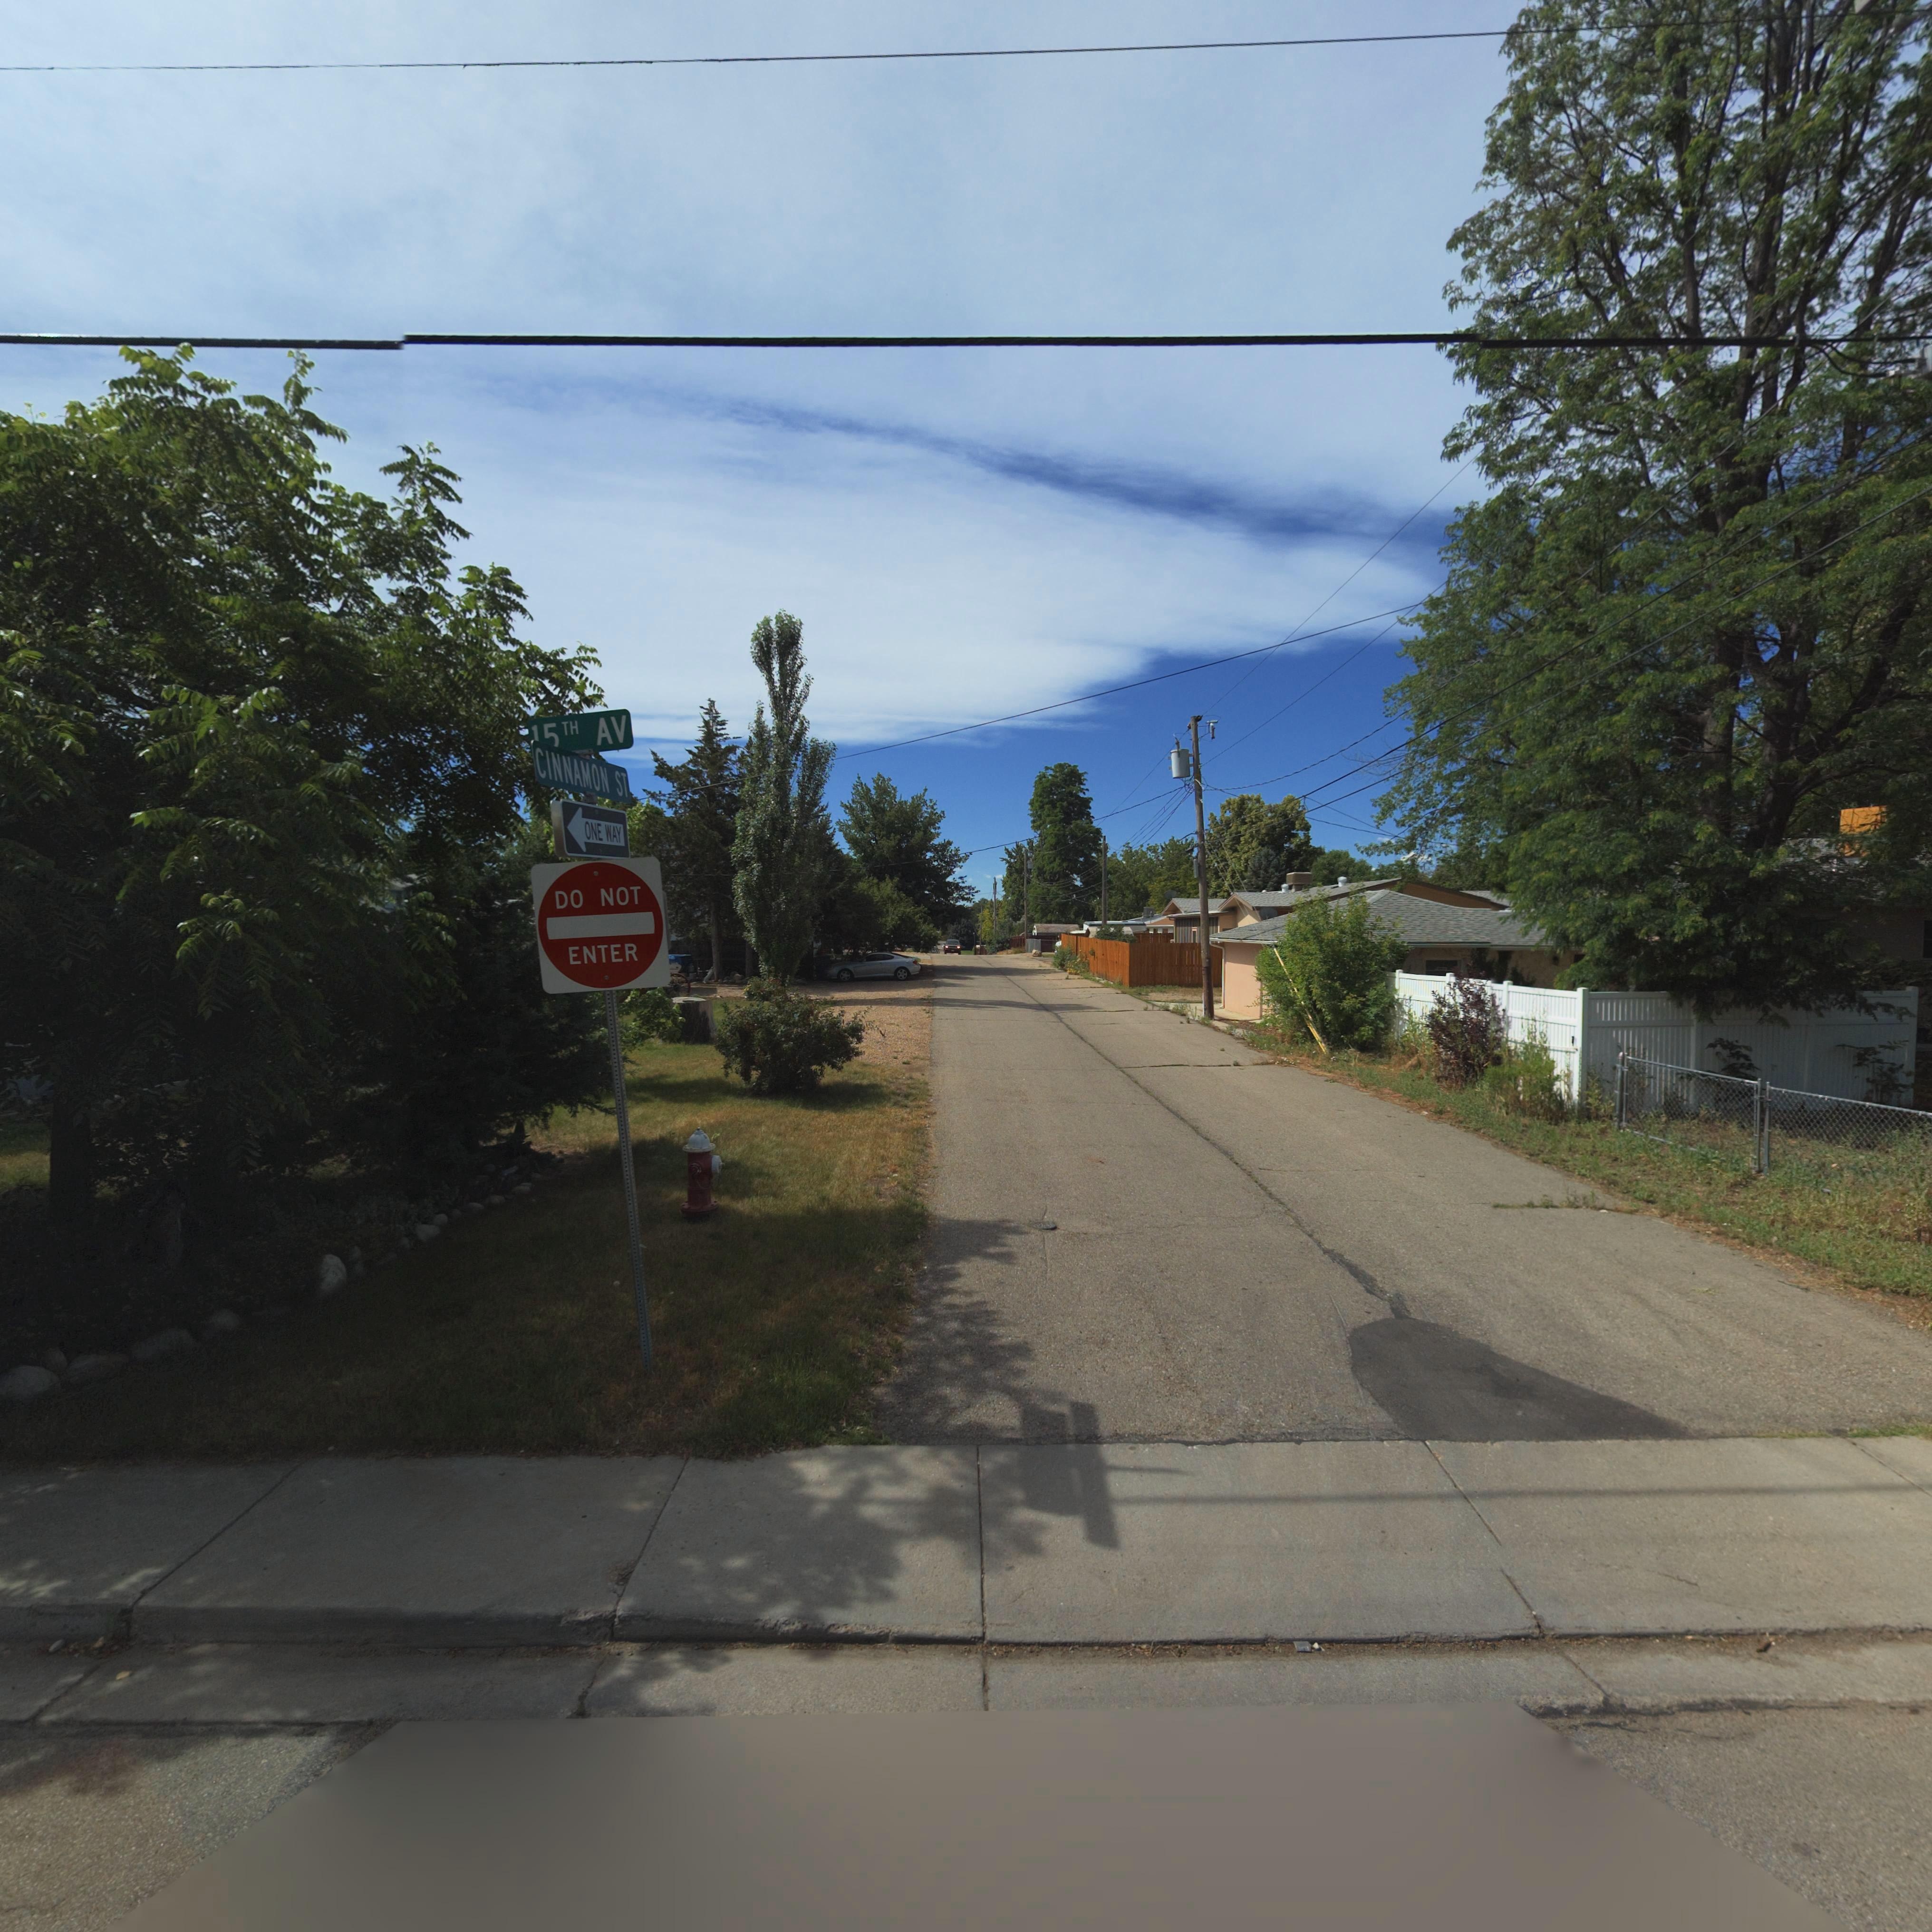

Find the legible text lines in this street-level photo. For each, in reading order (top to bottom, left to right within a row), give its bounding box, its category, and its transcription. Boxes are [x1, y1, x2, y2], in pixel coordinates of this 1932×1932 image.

[529, 712, 627, 749] StreetName: **TH AV
[535, 747, 628, 797] StreetName: CINNAMON ST